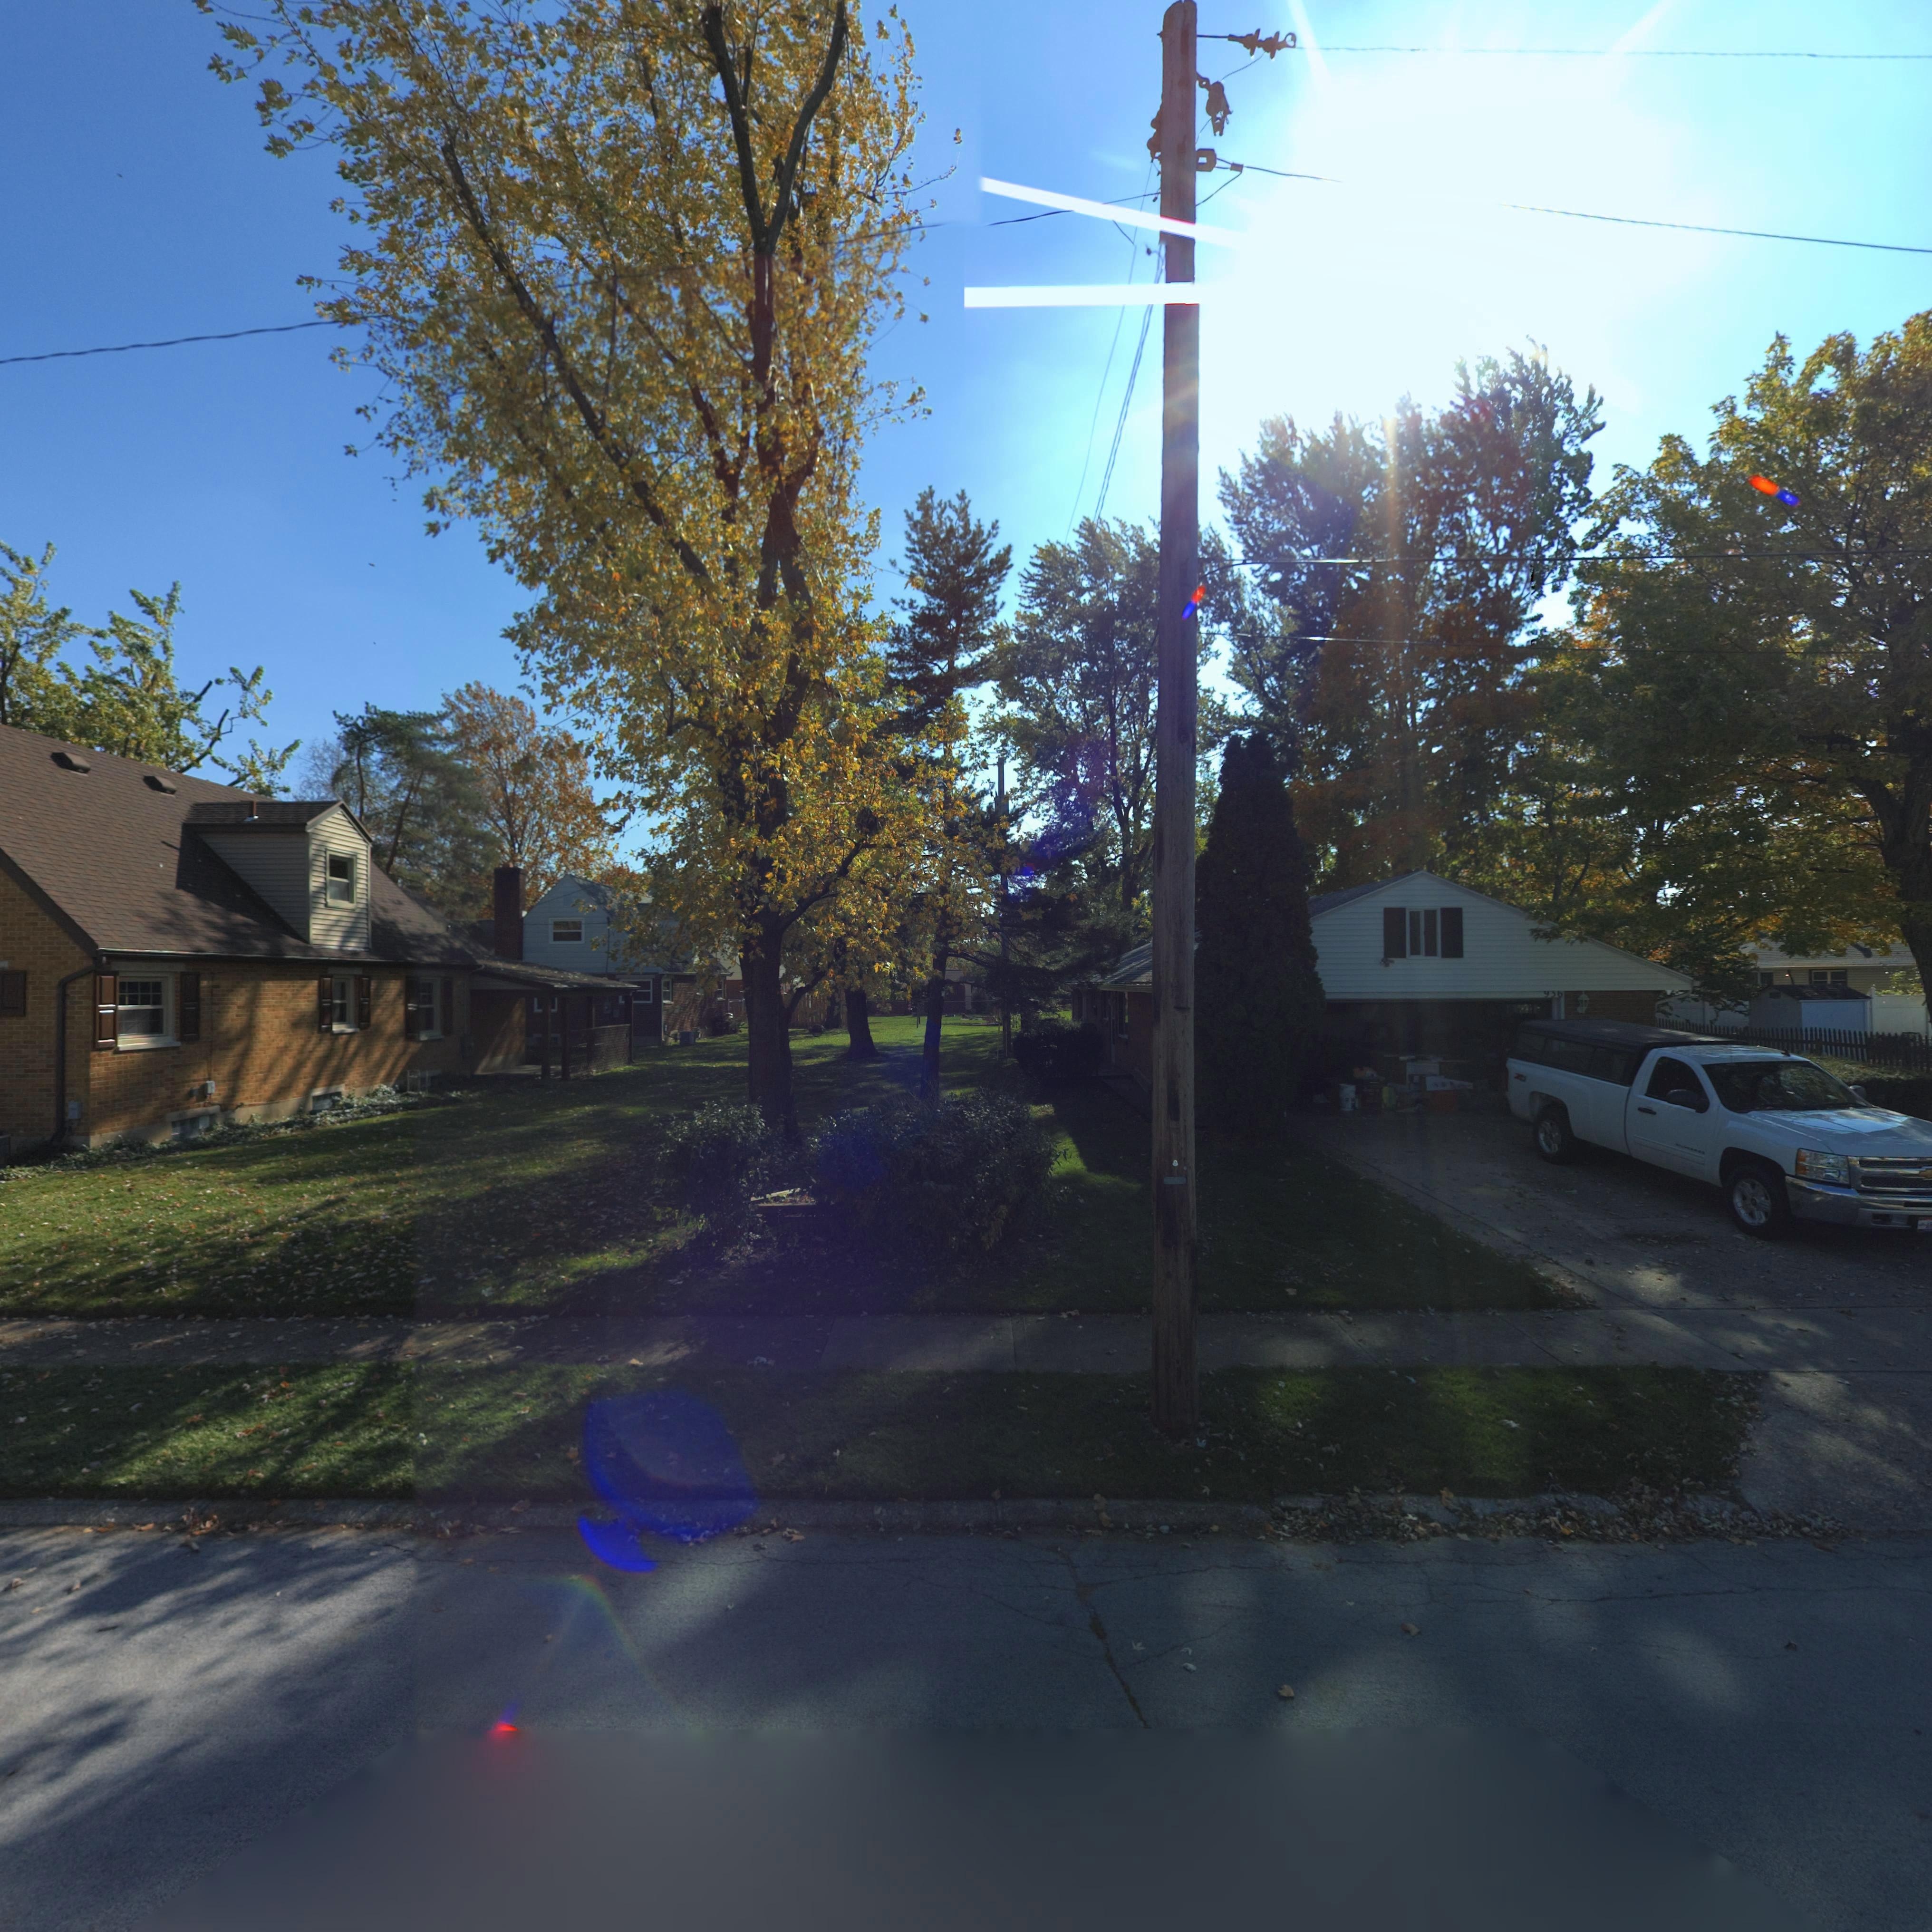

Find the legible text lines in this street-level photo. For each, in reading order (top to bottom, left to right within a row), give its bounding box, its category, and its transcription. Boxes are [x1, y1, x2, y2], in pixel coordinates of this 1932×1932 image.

[1542, 991, 1564, 998] StreetNumber: **6
[1513, 1072, 1527, 1082] None: z**